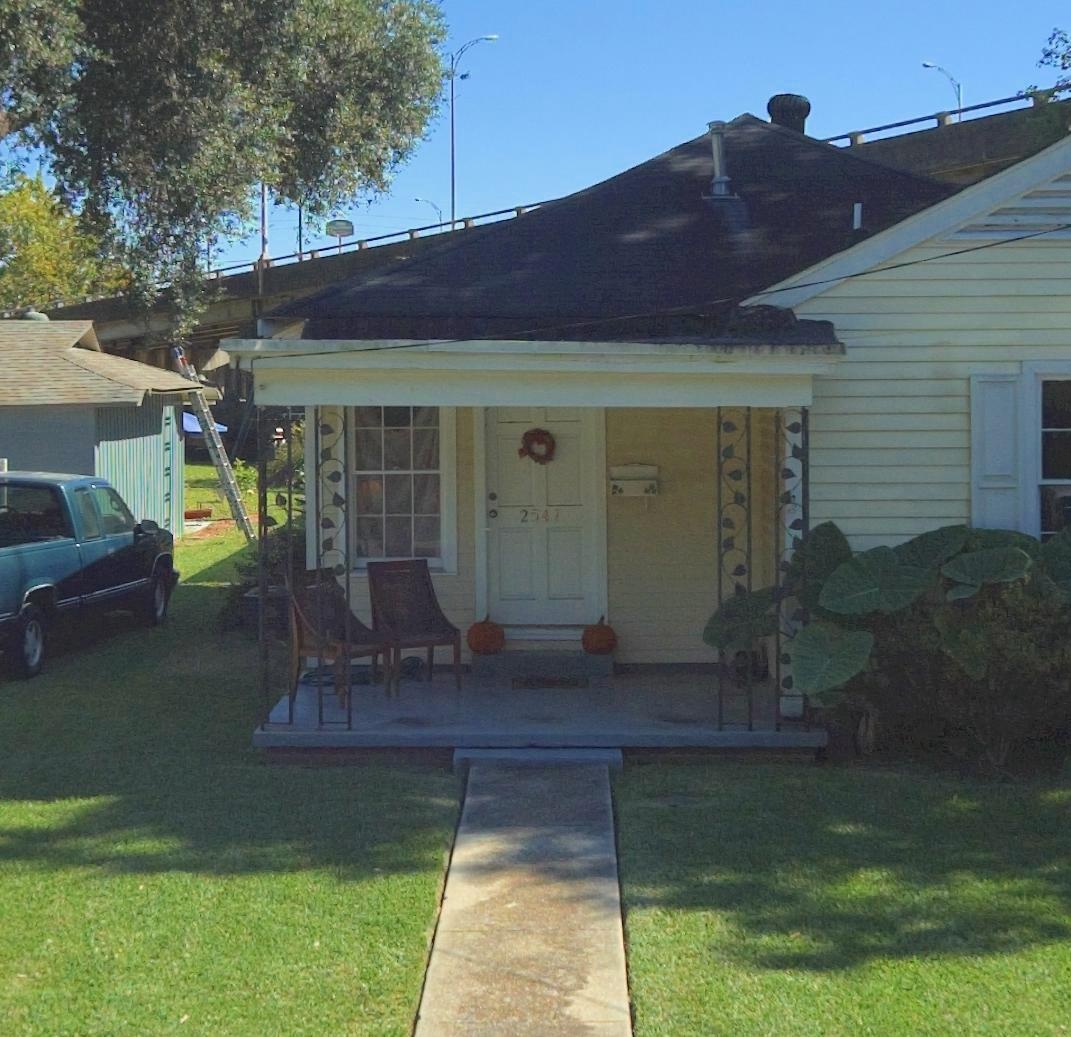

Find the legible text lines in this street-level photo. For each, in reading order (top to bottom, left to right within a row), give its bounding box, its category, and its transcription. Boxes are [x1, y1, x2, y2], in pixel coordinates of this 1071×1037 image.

[518, 506, 563, 525] StreetNumber: 2547